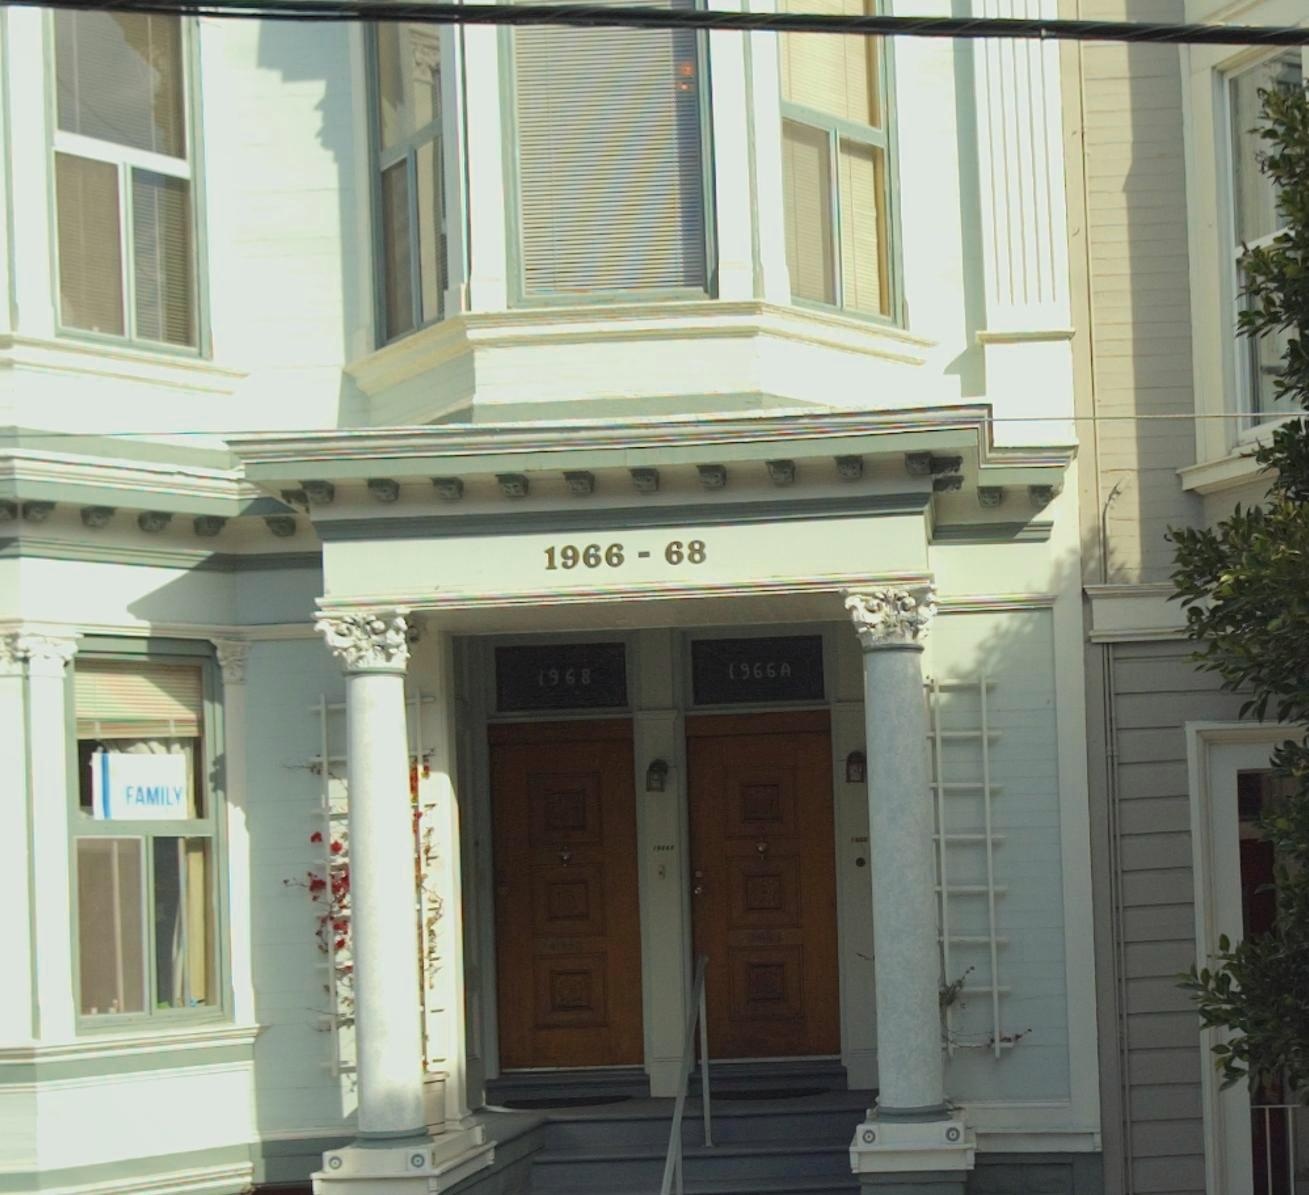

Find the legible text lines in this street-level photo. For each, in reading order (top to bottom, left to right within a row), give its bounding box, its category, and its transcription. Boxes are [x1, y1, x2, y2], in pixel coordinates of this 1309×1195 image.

[541, 540, 627, 574] StreetNumber: 1966
[662, 535, 710, 568] StreetNumber: 68
[536, 666, 595, 689] StreetNumber: 1968
[725, 659, 793, 683] StreetNumber: 1966A
[122, 782, 186, 809] None: FAMILY